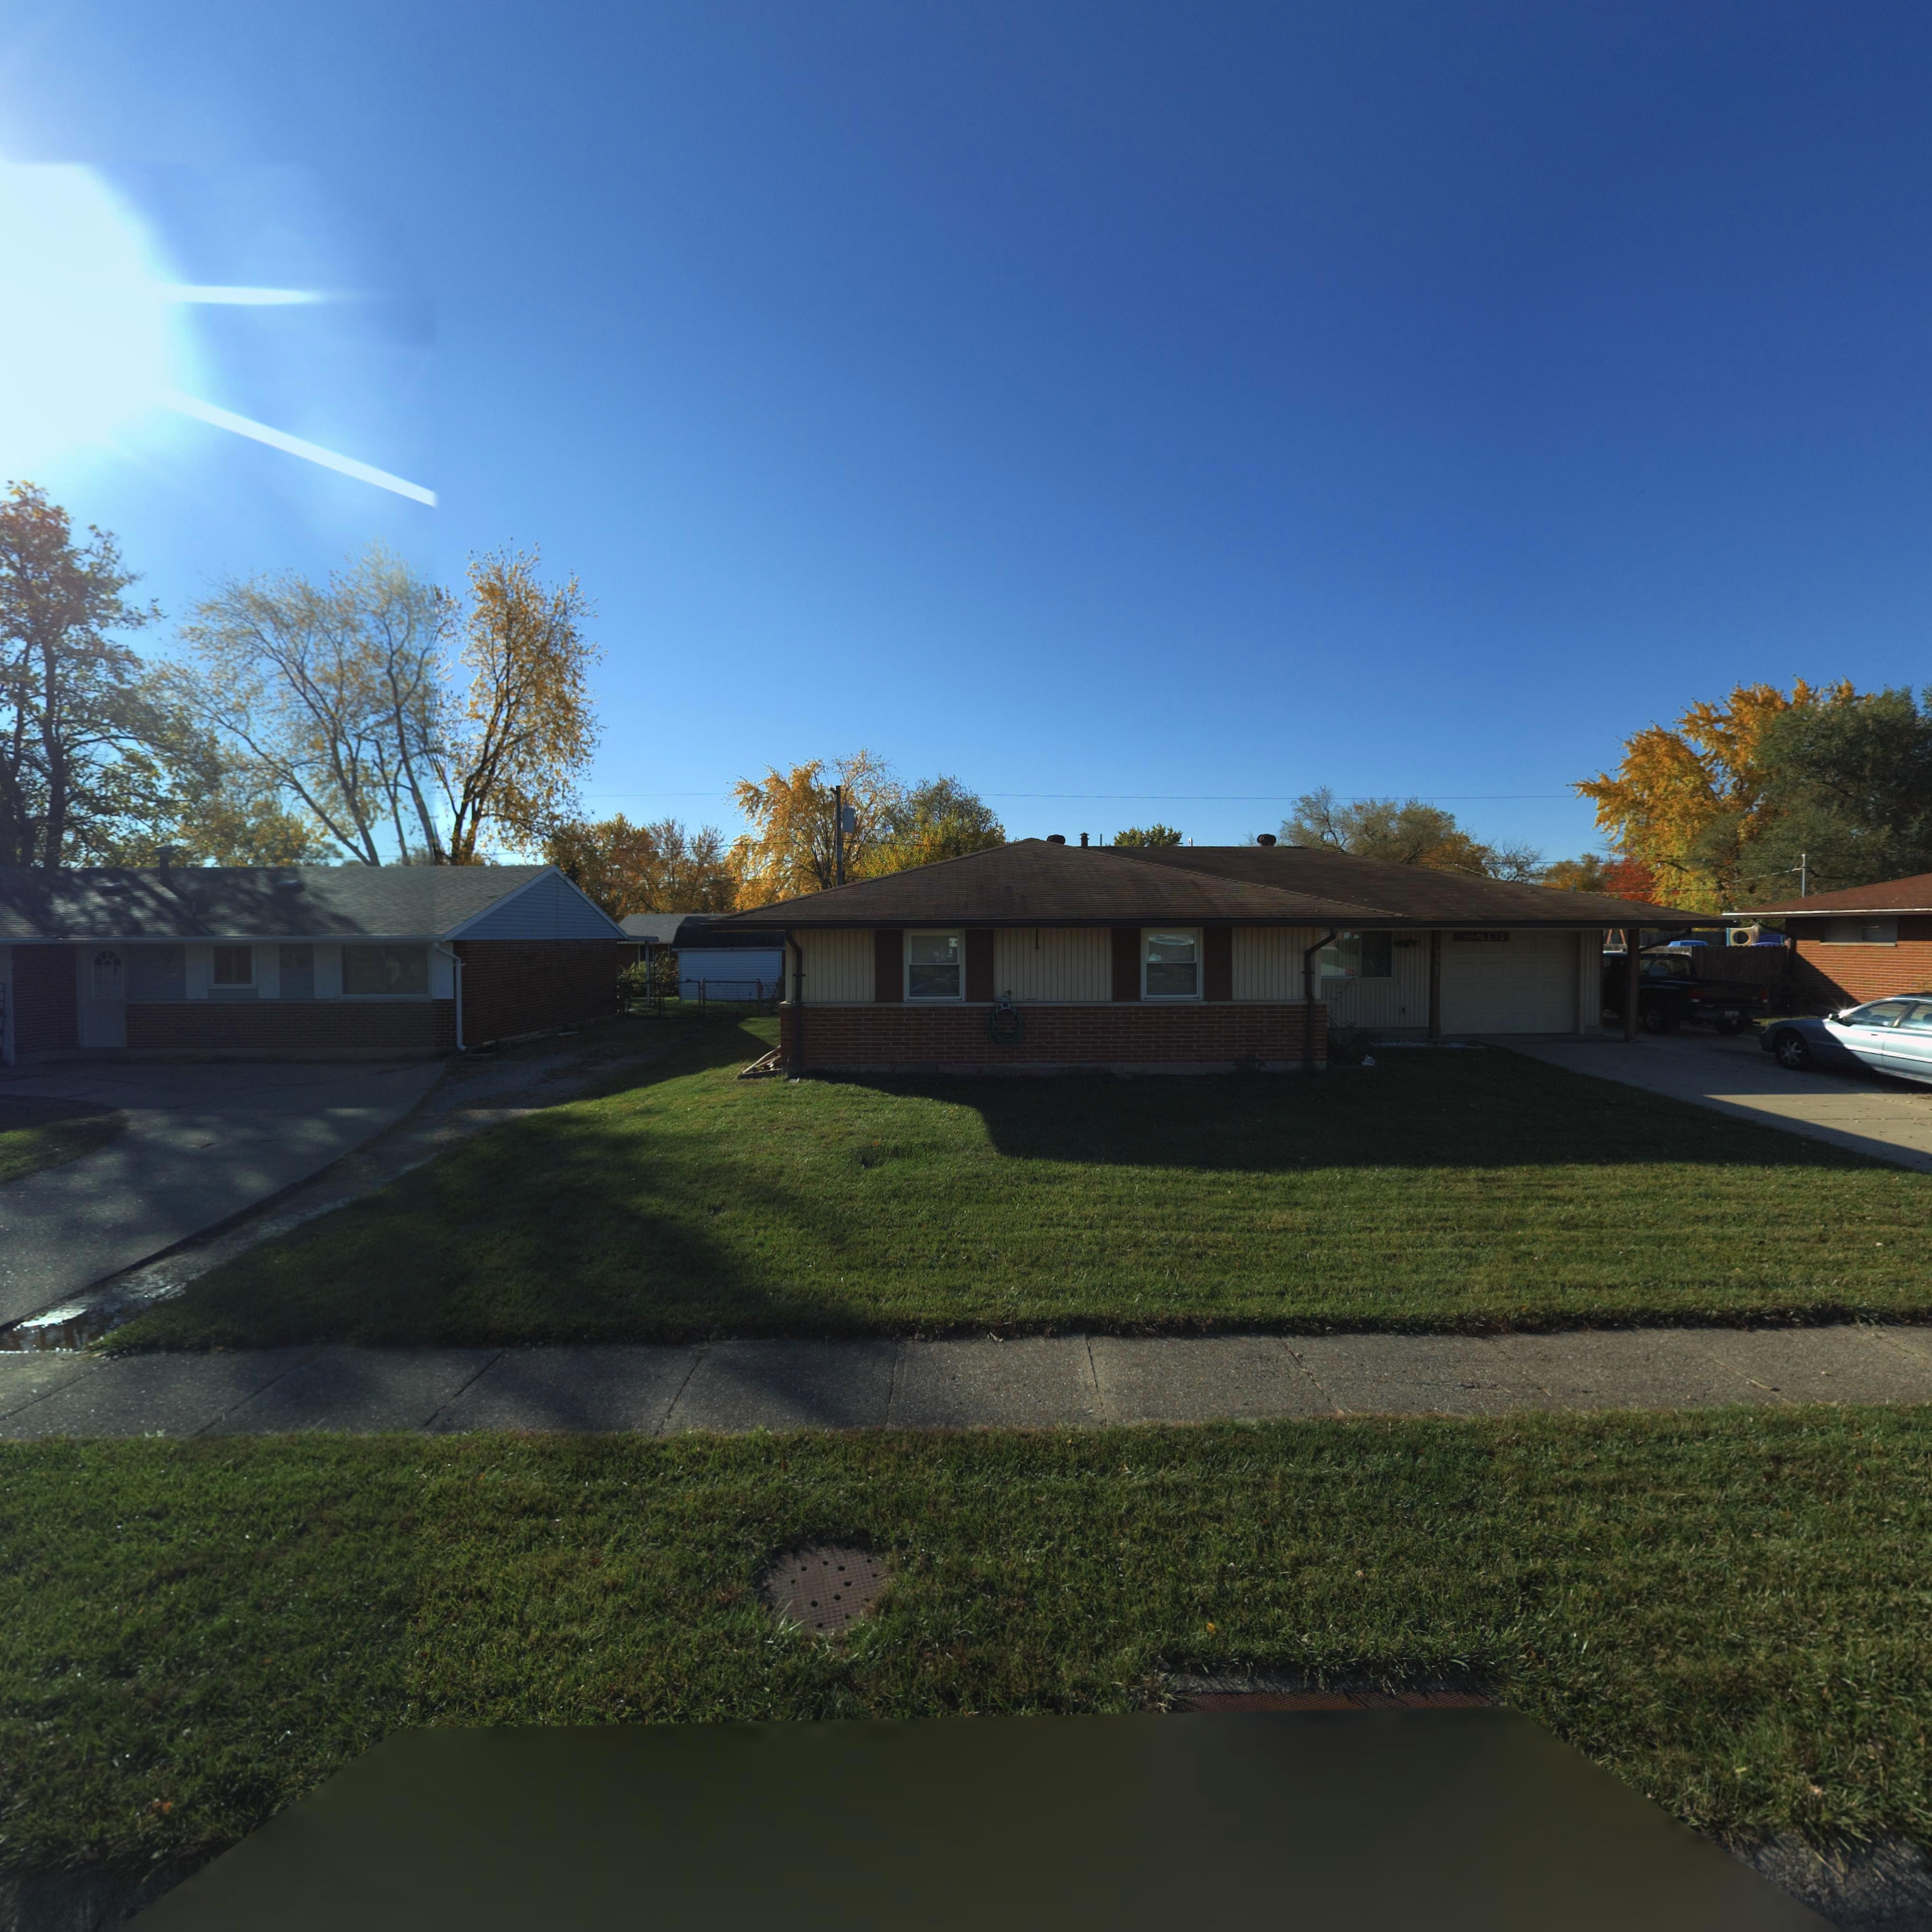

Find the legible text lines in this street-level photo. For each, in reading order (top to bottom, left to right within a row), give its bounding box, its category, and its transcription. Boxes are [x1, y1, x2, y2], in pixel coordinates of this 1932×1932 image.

[1435, 949, 1440, 978] StreetNumber: ***0